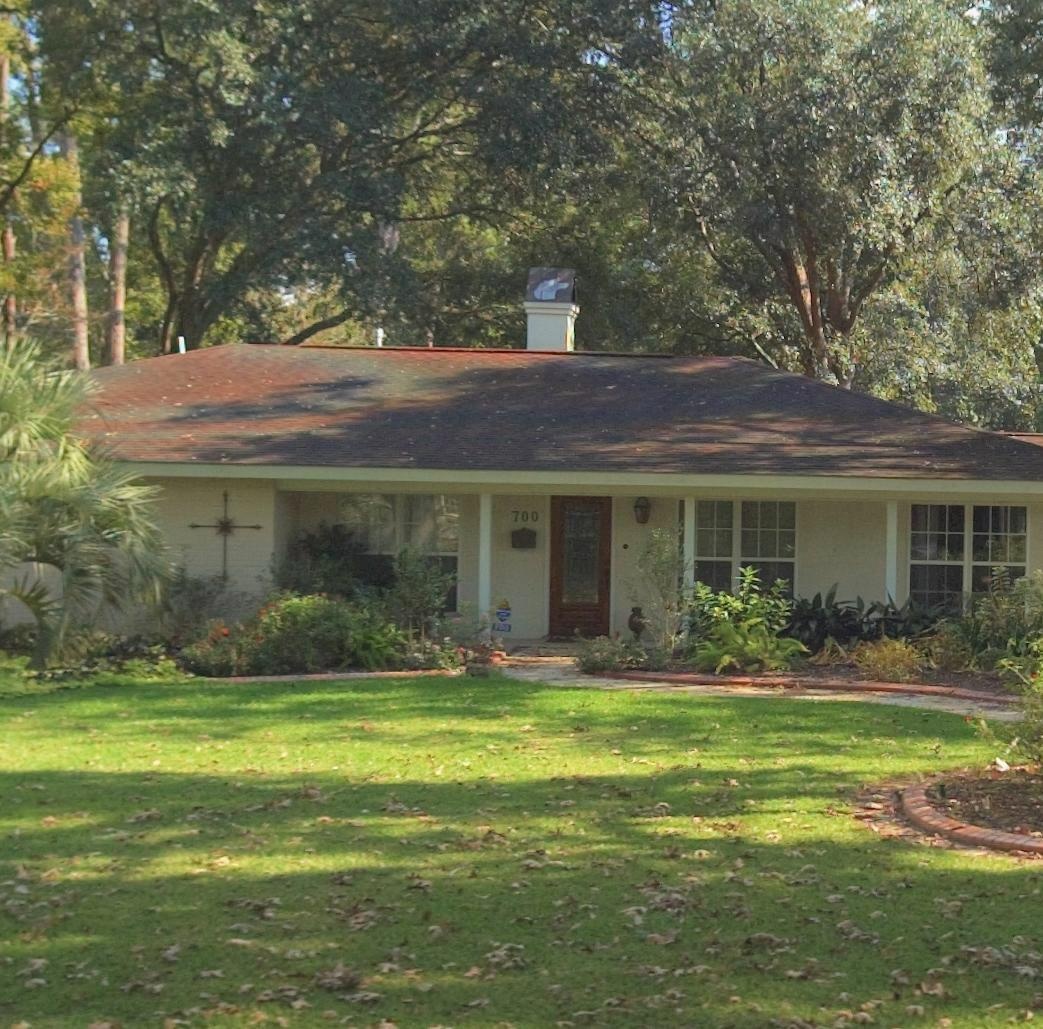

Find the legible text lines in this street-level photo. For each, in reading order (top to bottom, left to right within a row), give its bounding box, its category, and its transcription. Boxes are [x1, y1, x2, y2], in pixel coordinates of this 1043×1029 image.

[511, 510, 539, 523] StreetNumber: 700